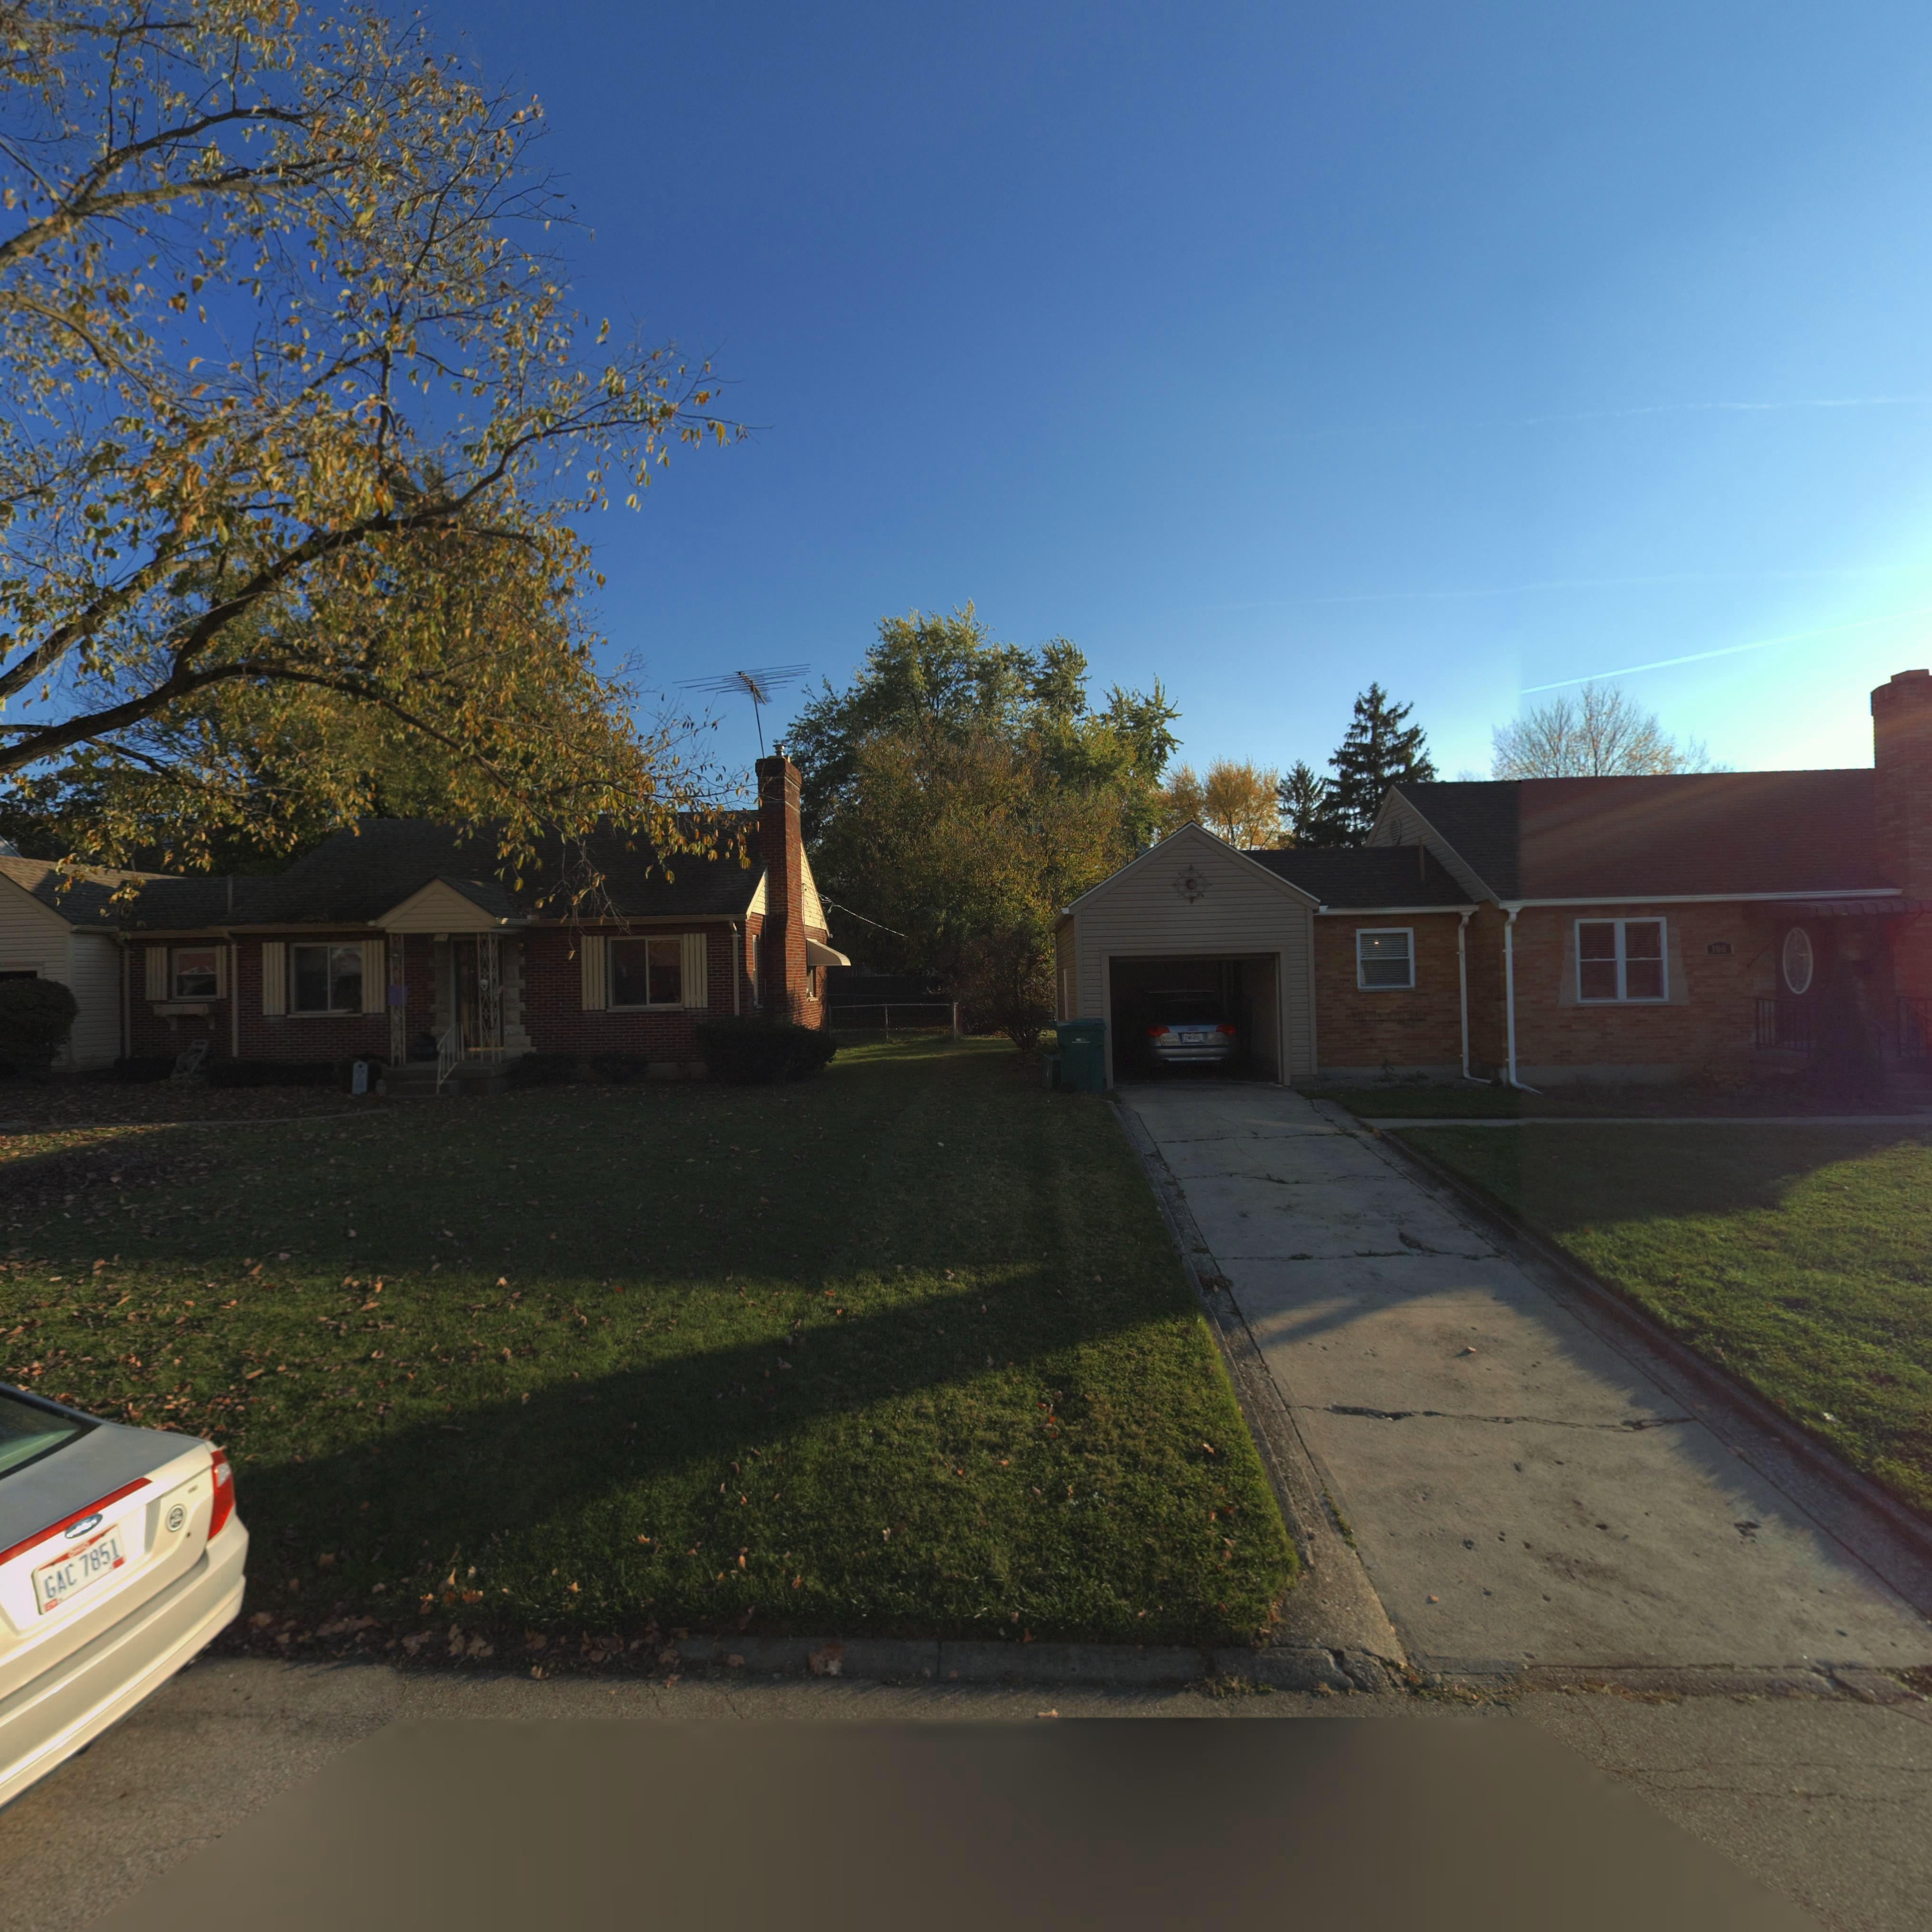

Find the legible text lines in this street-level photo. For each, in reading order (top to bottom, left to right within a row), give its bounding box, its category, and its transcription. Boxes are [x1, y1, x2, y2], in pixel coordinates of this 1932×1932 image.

[433, 933, 449, 942] StreetNumber: *04
[1710, 944, 1727, 954] StreetNumber: 100